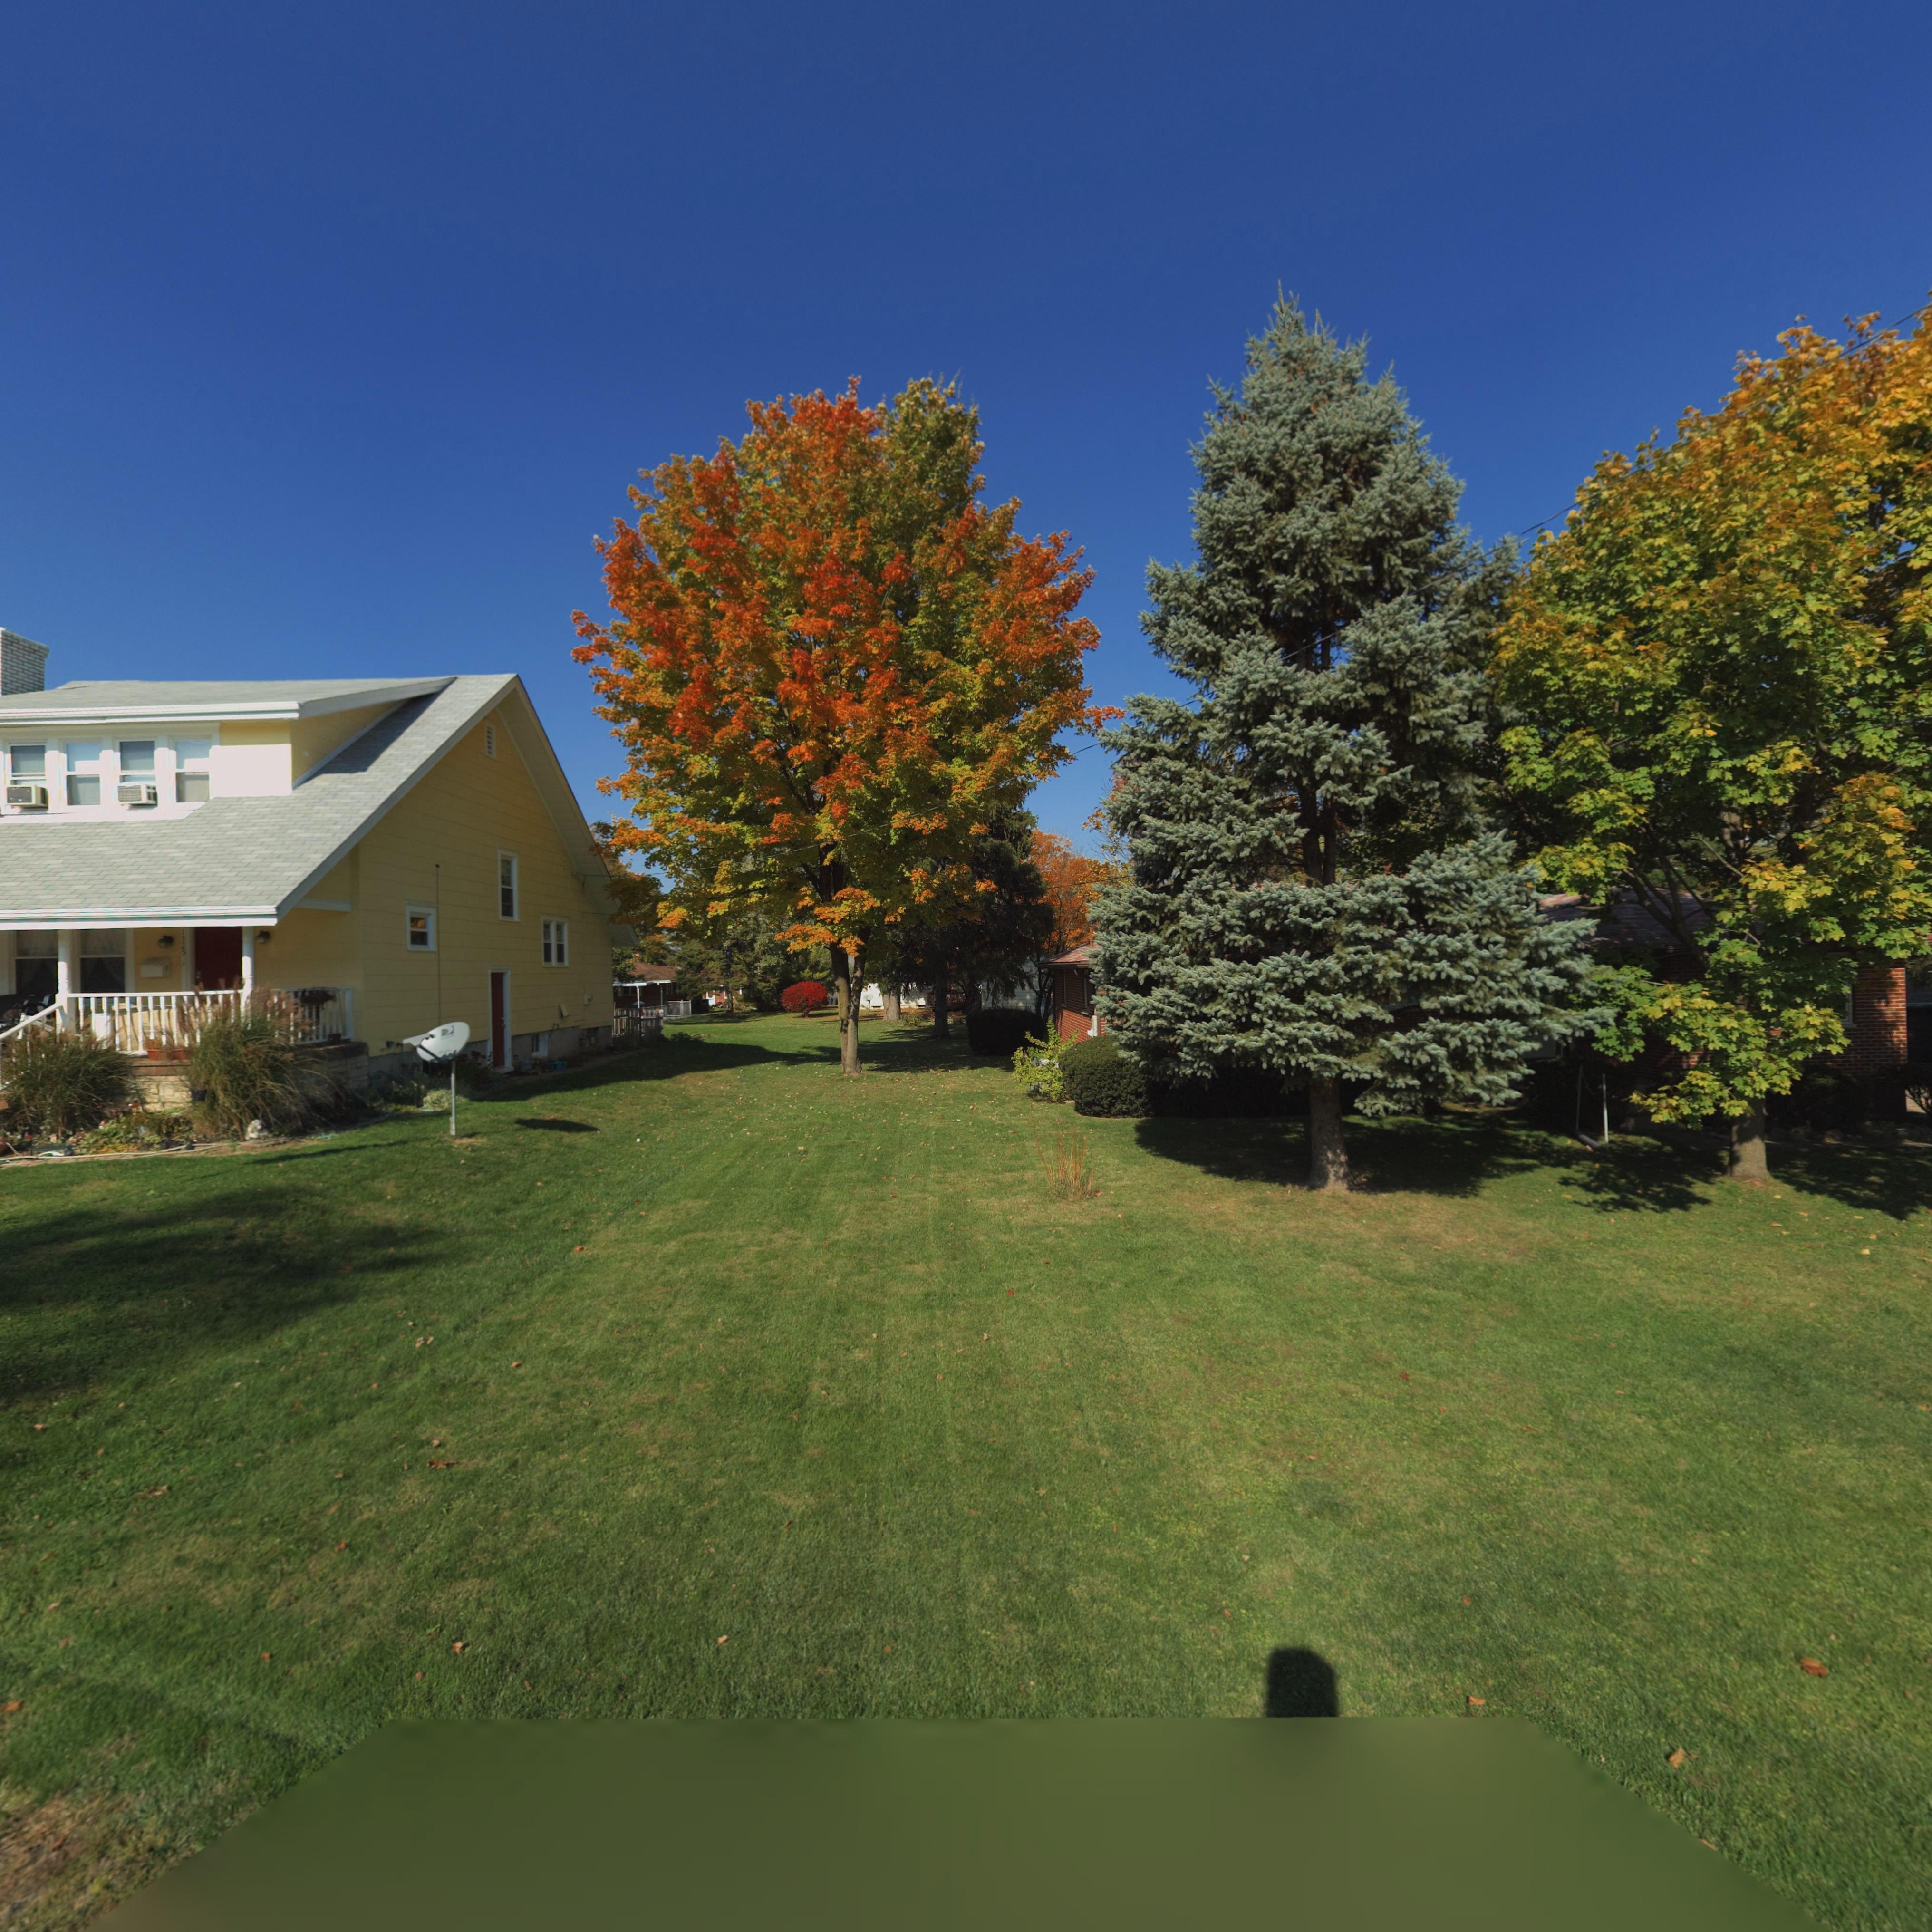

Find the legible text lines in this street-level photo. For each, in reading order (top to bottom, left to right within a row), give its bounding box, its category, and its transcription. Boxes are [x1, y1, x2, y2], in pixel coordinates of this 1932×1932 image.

[181, 927, 186, 956] StreetNumber: 1325